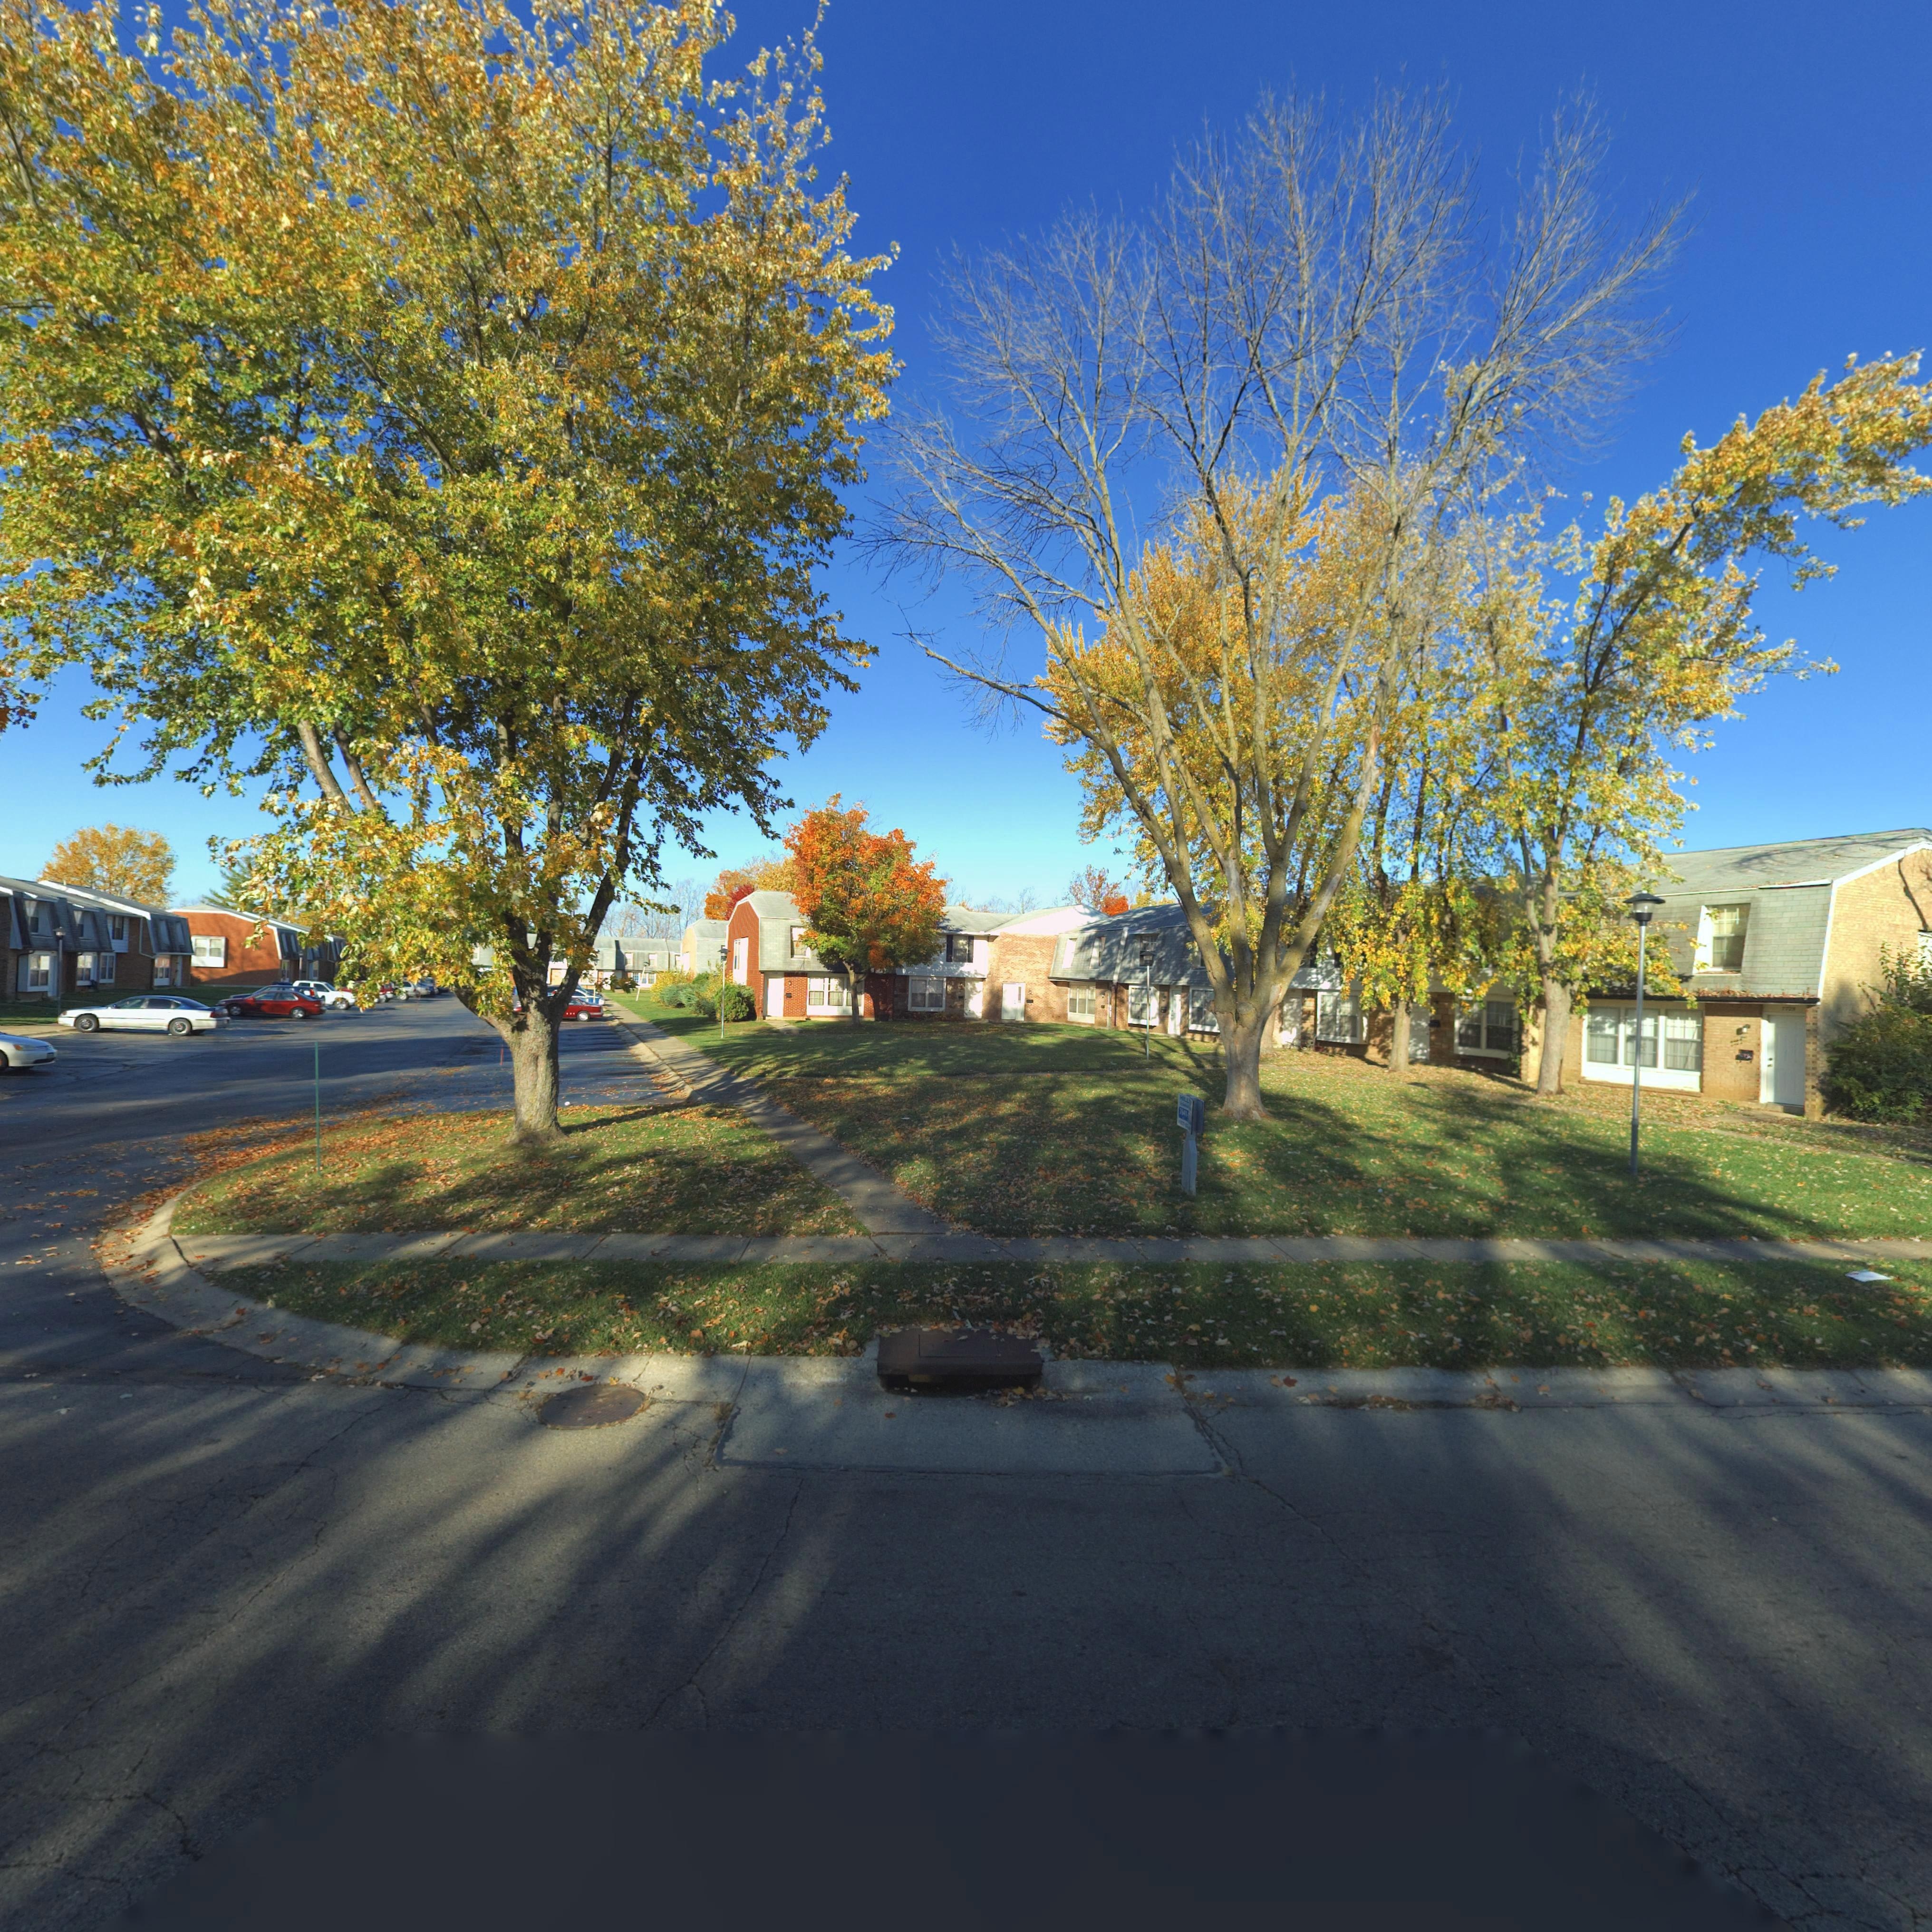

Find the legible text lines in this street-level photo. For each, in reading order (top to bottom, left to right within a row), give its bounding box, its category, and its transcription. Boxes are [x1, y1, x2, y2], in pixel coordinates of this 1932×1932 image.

[1781, 1005, 1796, 1011] StreetNumber: 7725